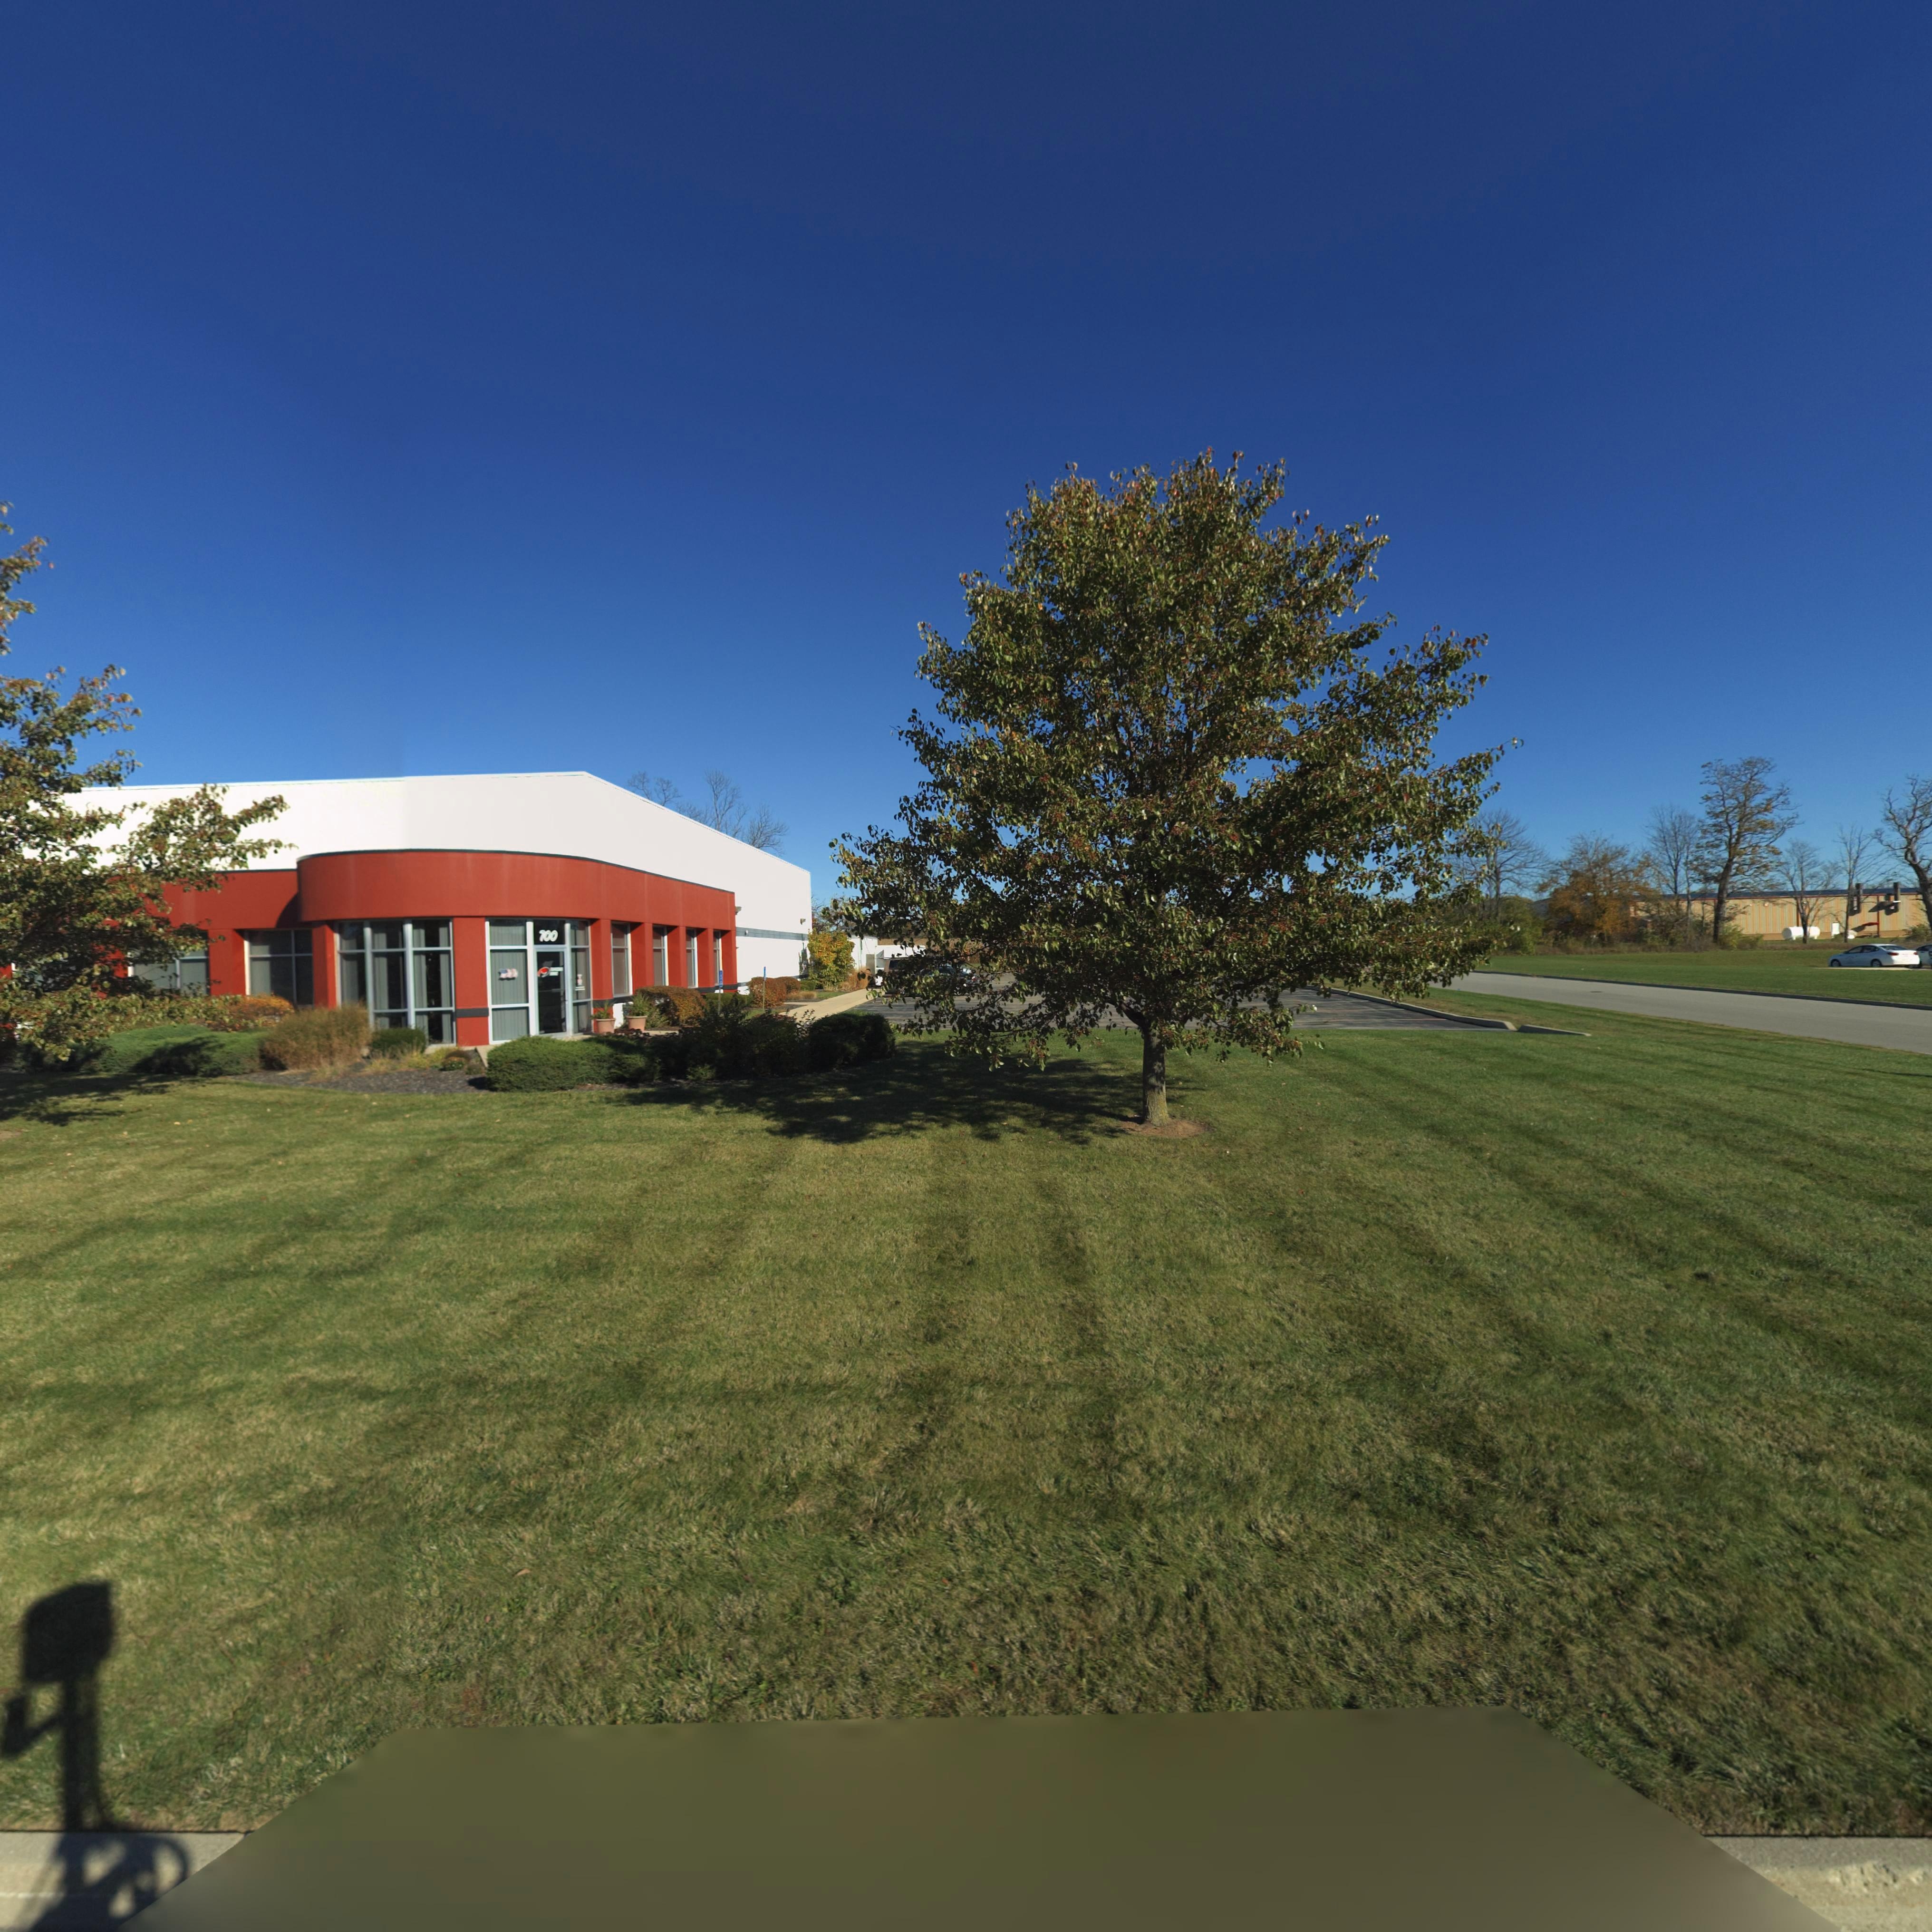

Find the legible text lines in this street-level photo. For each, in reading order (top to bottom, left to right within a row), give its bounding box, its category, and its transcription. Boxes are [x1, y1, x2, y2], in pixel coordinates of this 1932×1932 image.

[538, 929, 559, 942] StreetNumber: 700
[498, 968, 519, 979] StreetNumber: 700